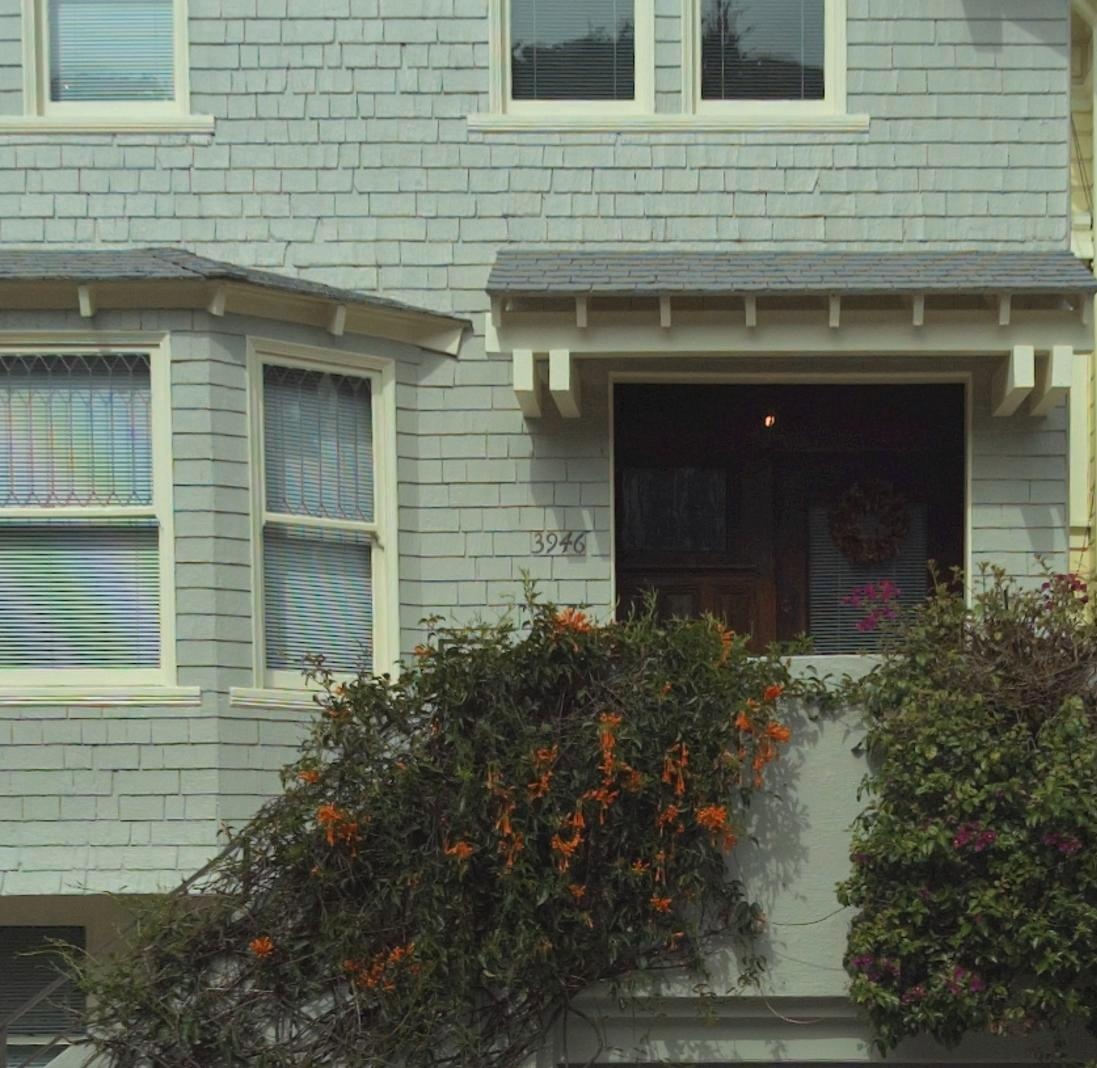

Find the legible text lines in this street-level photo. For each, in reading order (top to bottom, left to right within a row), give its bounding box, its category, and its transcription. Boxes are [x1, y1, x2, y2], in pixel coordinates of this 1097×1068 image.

[531, 530, 586, 554] StreetNumber: 3946